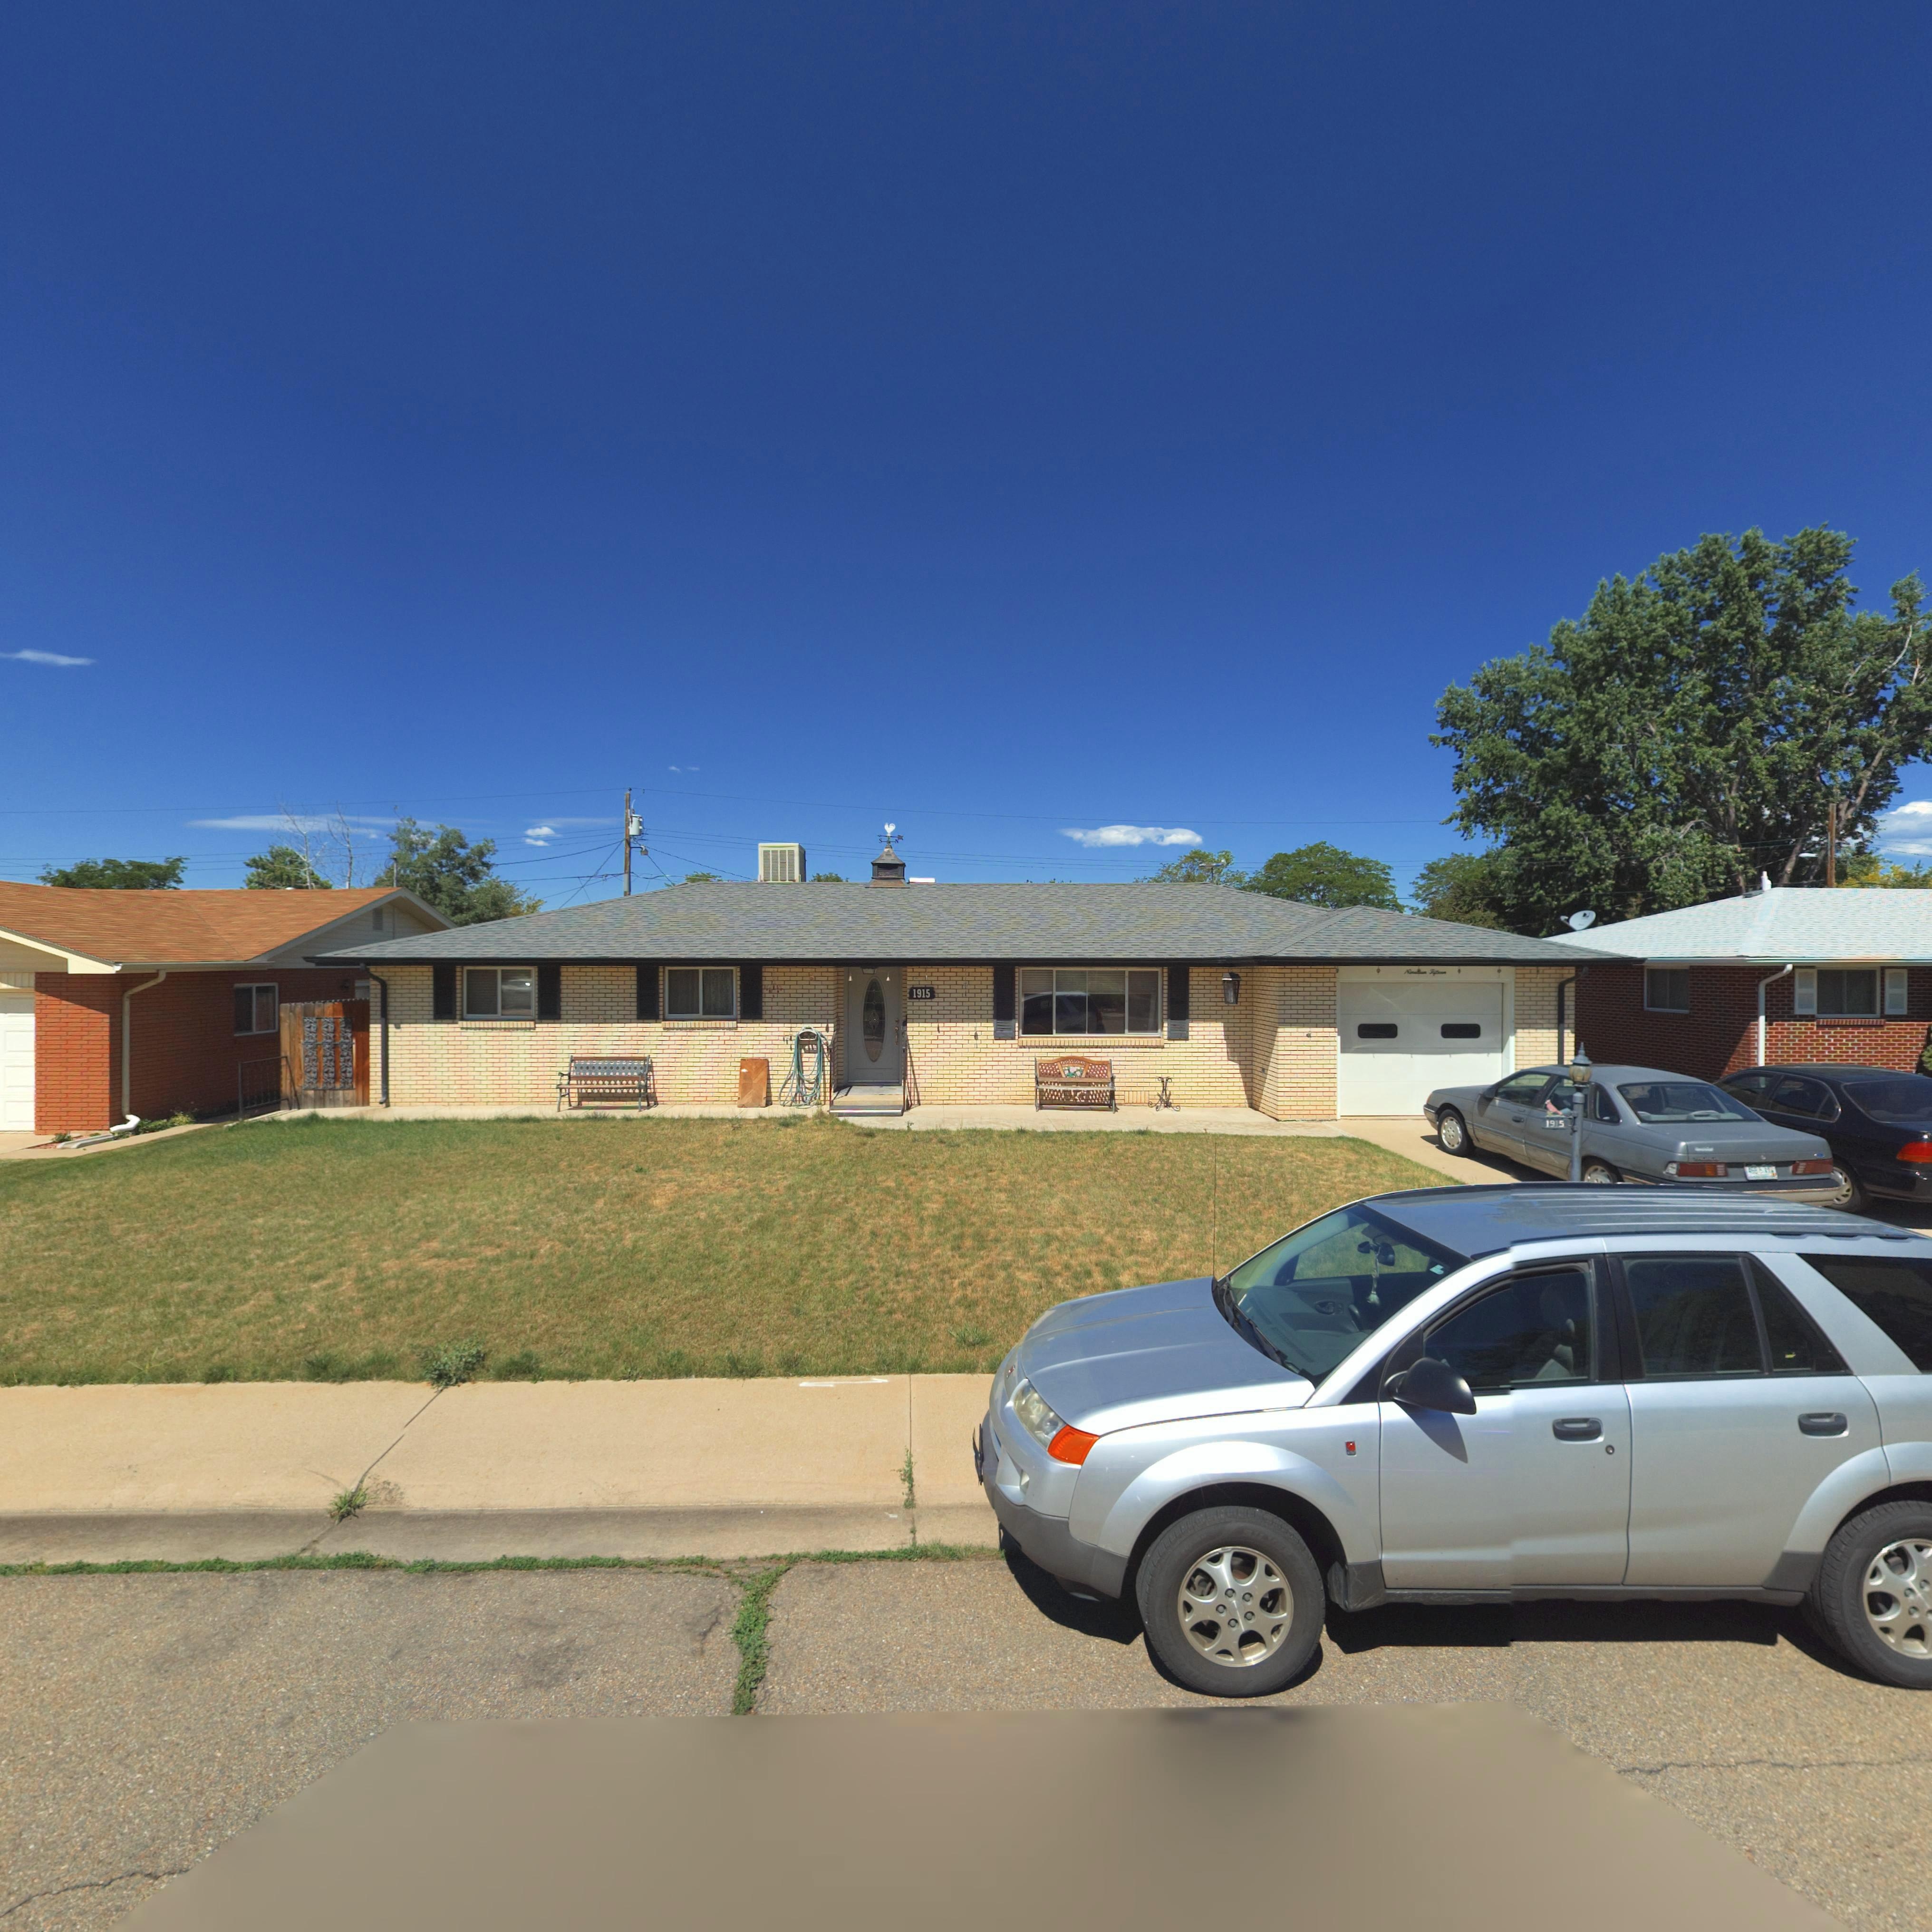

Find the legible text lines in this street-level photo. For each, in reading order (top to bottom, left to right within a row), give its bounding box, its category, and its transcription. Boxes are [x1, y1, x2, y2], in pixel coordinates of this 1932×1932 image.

[1403, 968, 1447, 976] StreetNumber: N******n F*fte*n
[912, 988, 930, 998] StreetNumber: 1915
[1545, 1120, 1565, 1128] StreetNumber: 1915